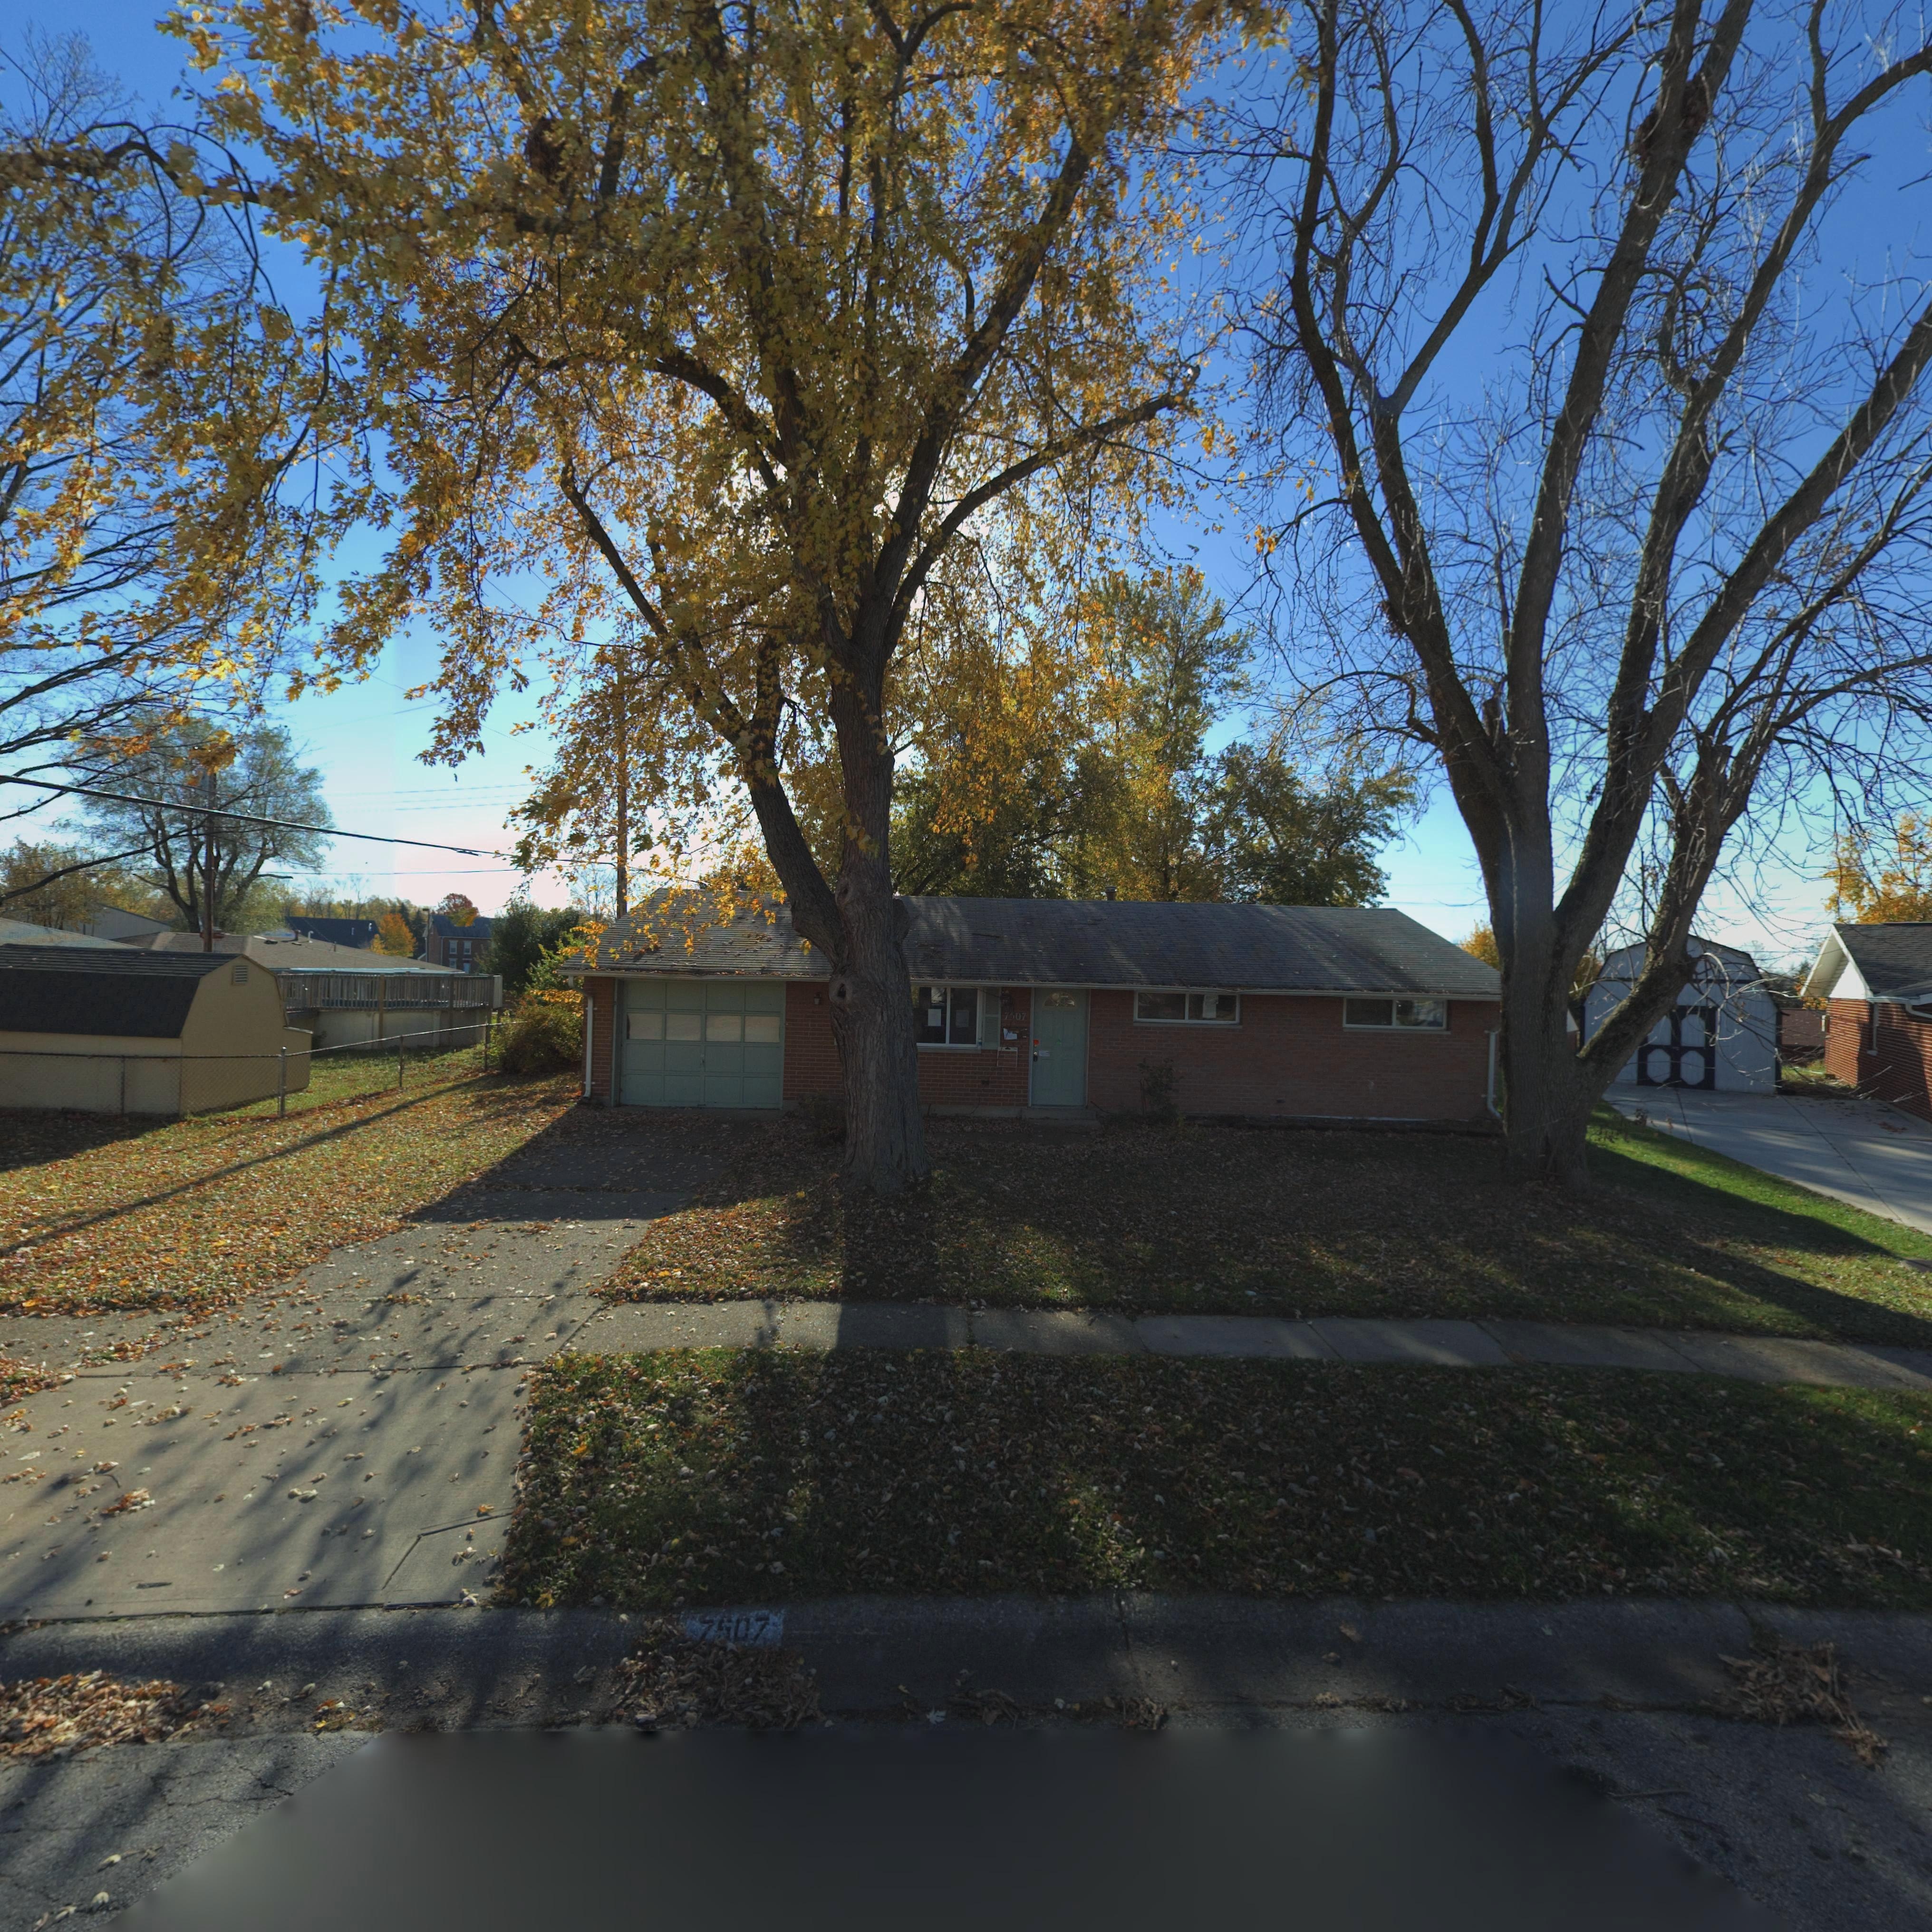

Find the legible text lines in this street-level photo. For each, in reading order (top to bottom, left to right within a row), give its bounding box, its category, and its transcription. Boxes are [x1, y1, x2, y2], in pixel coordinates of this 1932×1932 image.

[1004, 1011, 1027, 1022] StreetNumber: 7*07
[695, 1613, 773, 1648] StreetNumber: 7507